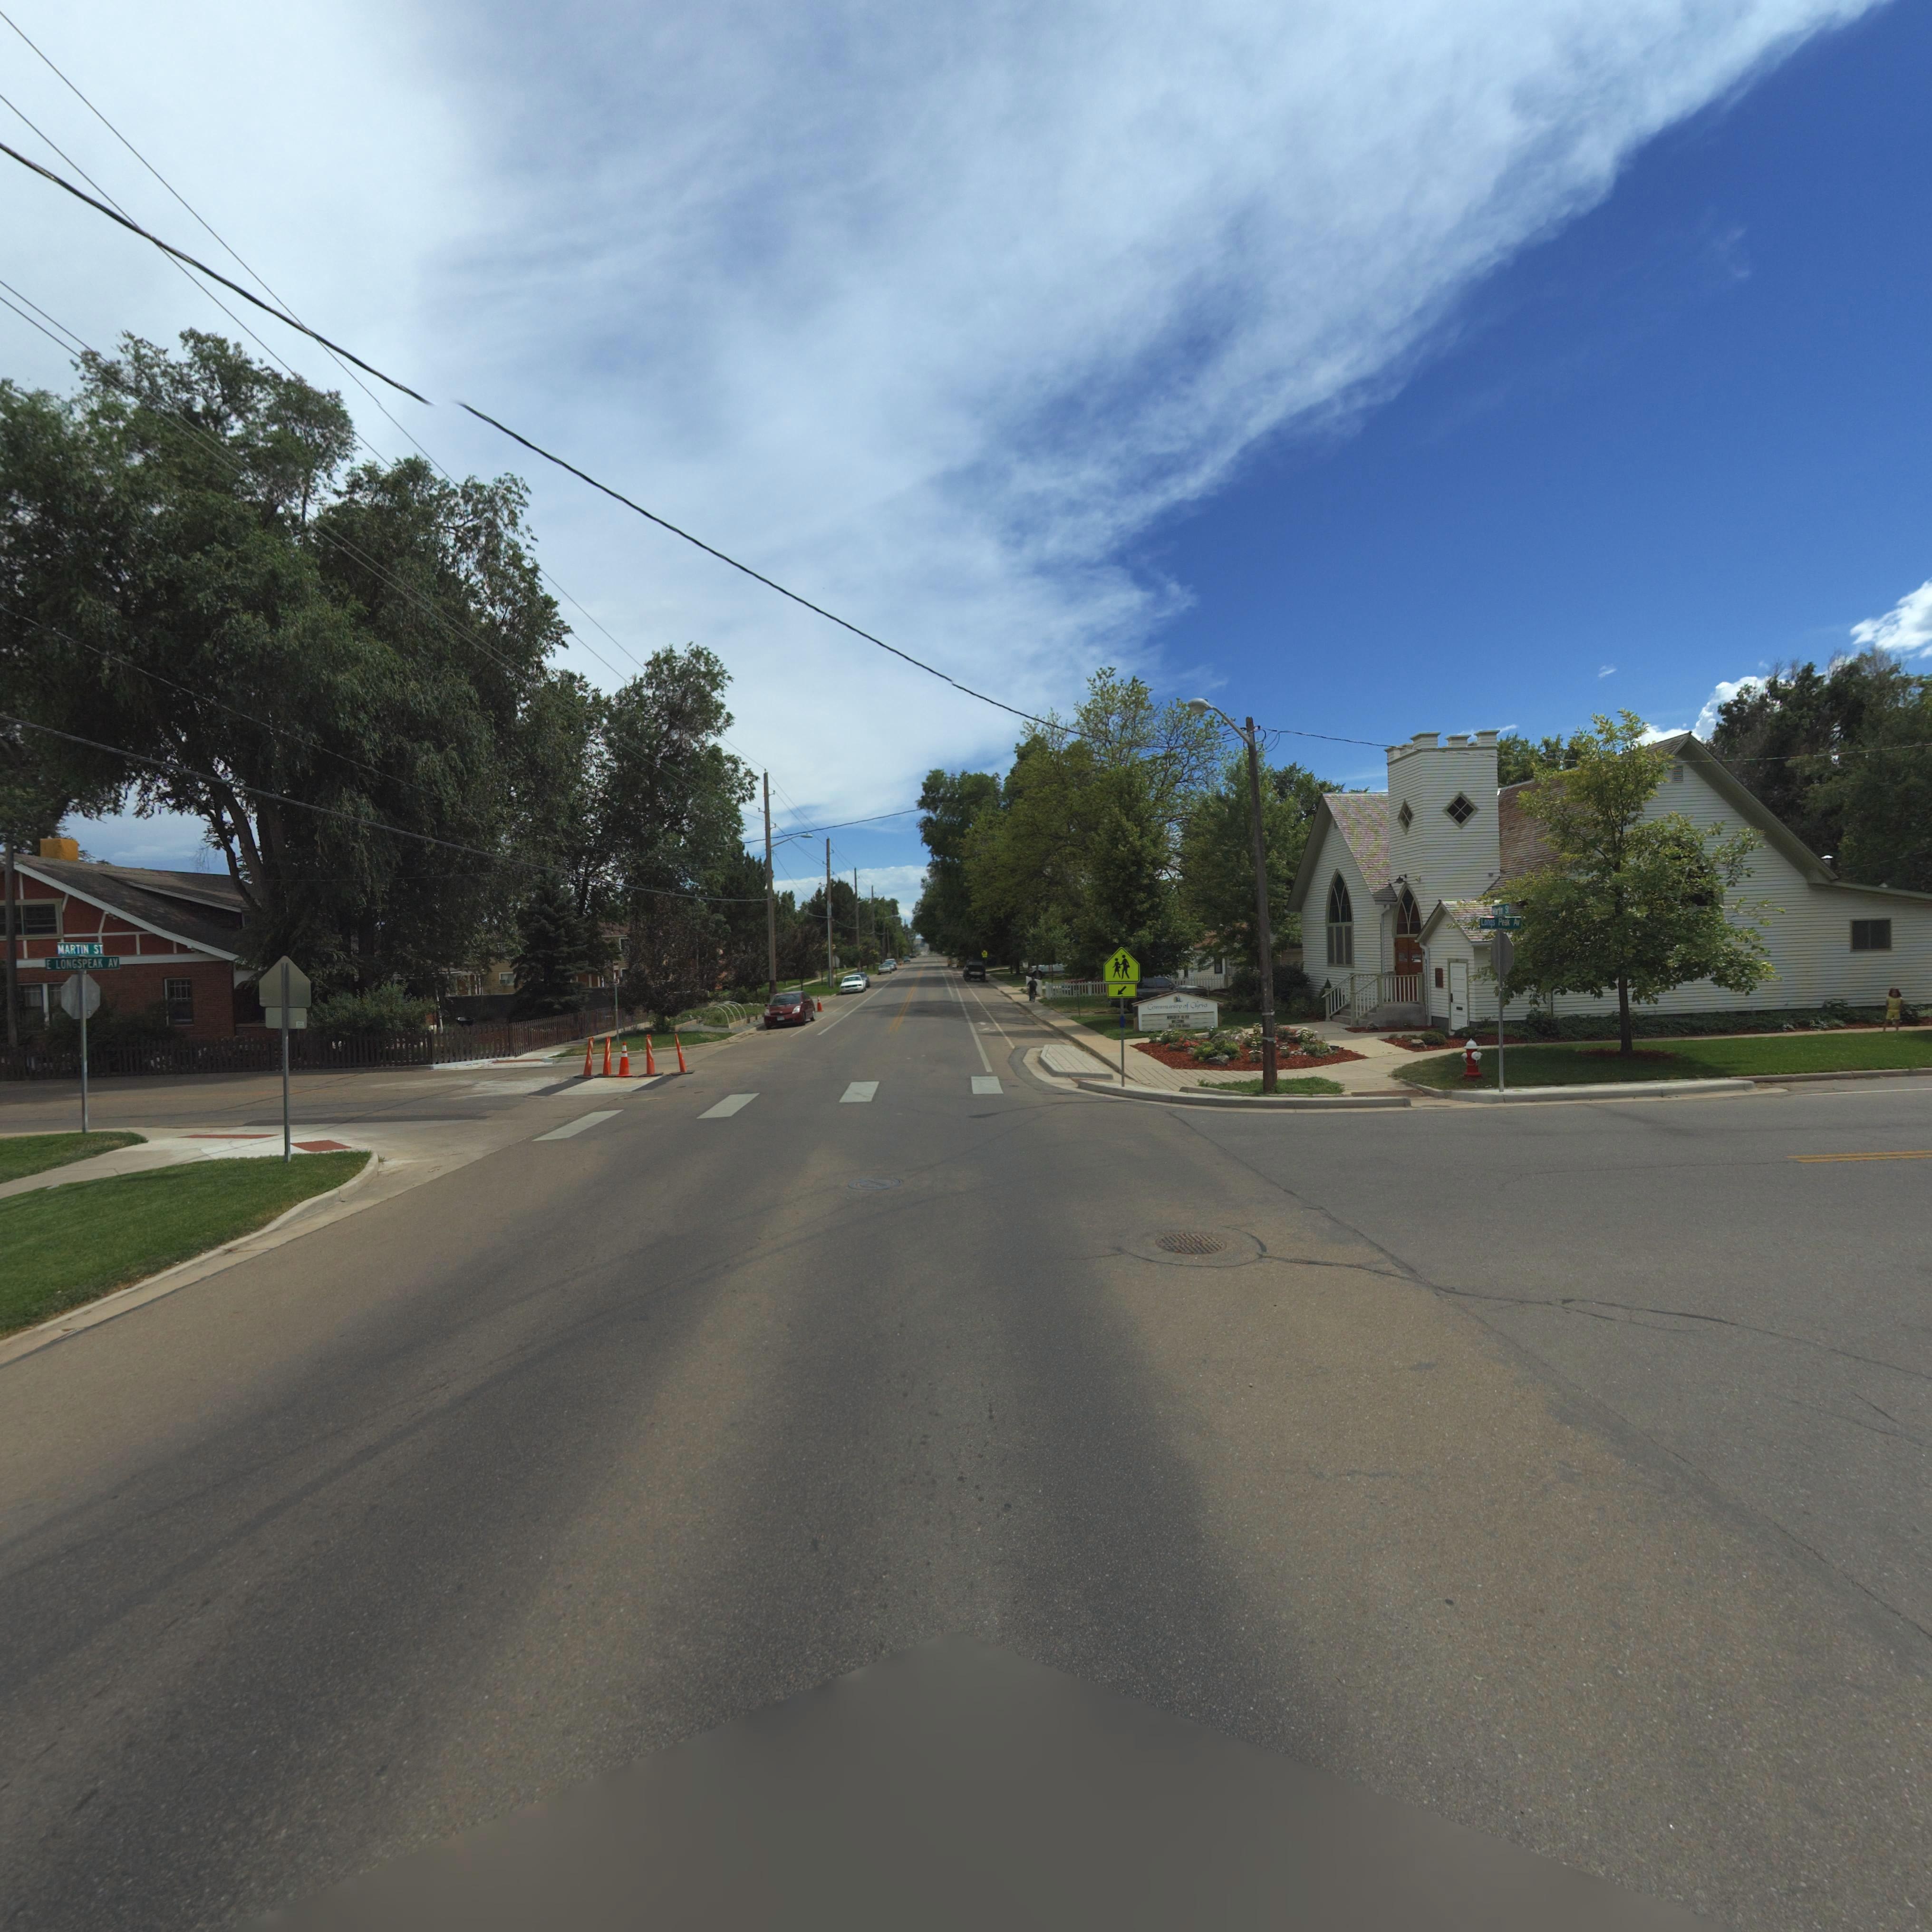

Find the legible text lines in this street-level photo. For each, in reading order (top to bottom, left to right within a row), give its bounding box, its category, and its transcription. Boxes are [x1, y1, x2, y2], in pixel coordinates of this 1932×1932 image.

[1491, 904, 1509, 915] StreetName: Martin St
[1480, 917, 1520, 929] StreetName: Longs Peak Av
[57, 943, 104, 956] StreetName: MARTIN ST
[46, 957, 118, 969] StreetName: E LONGSPEAK AV
[1146, 1000, 1208, 1013] BusinessName: Community of Christ